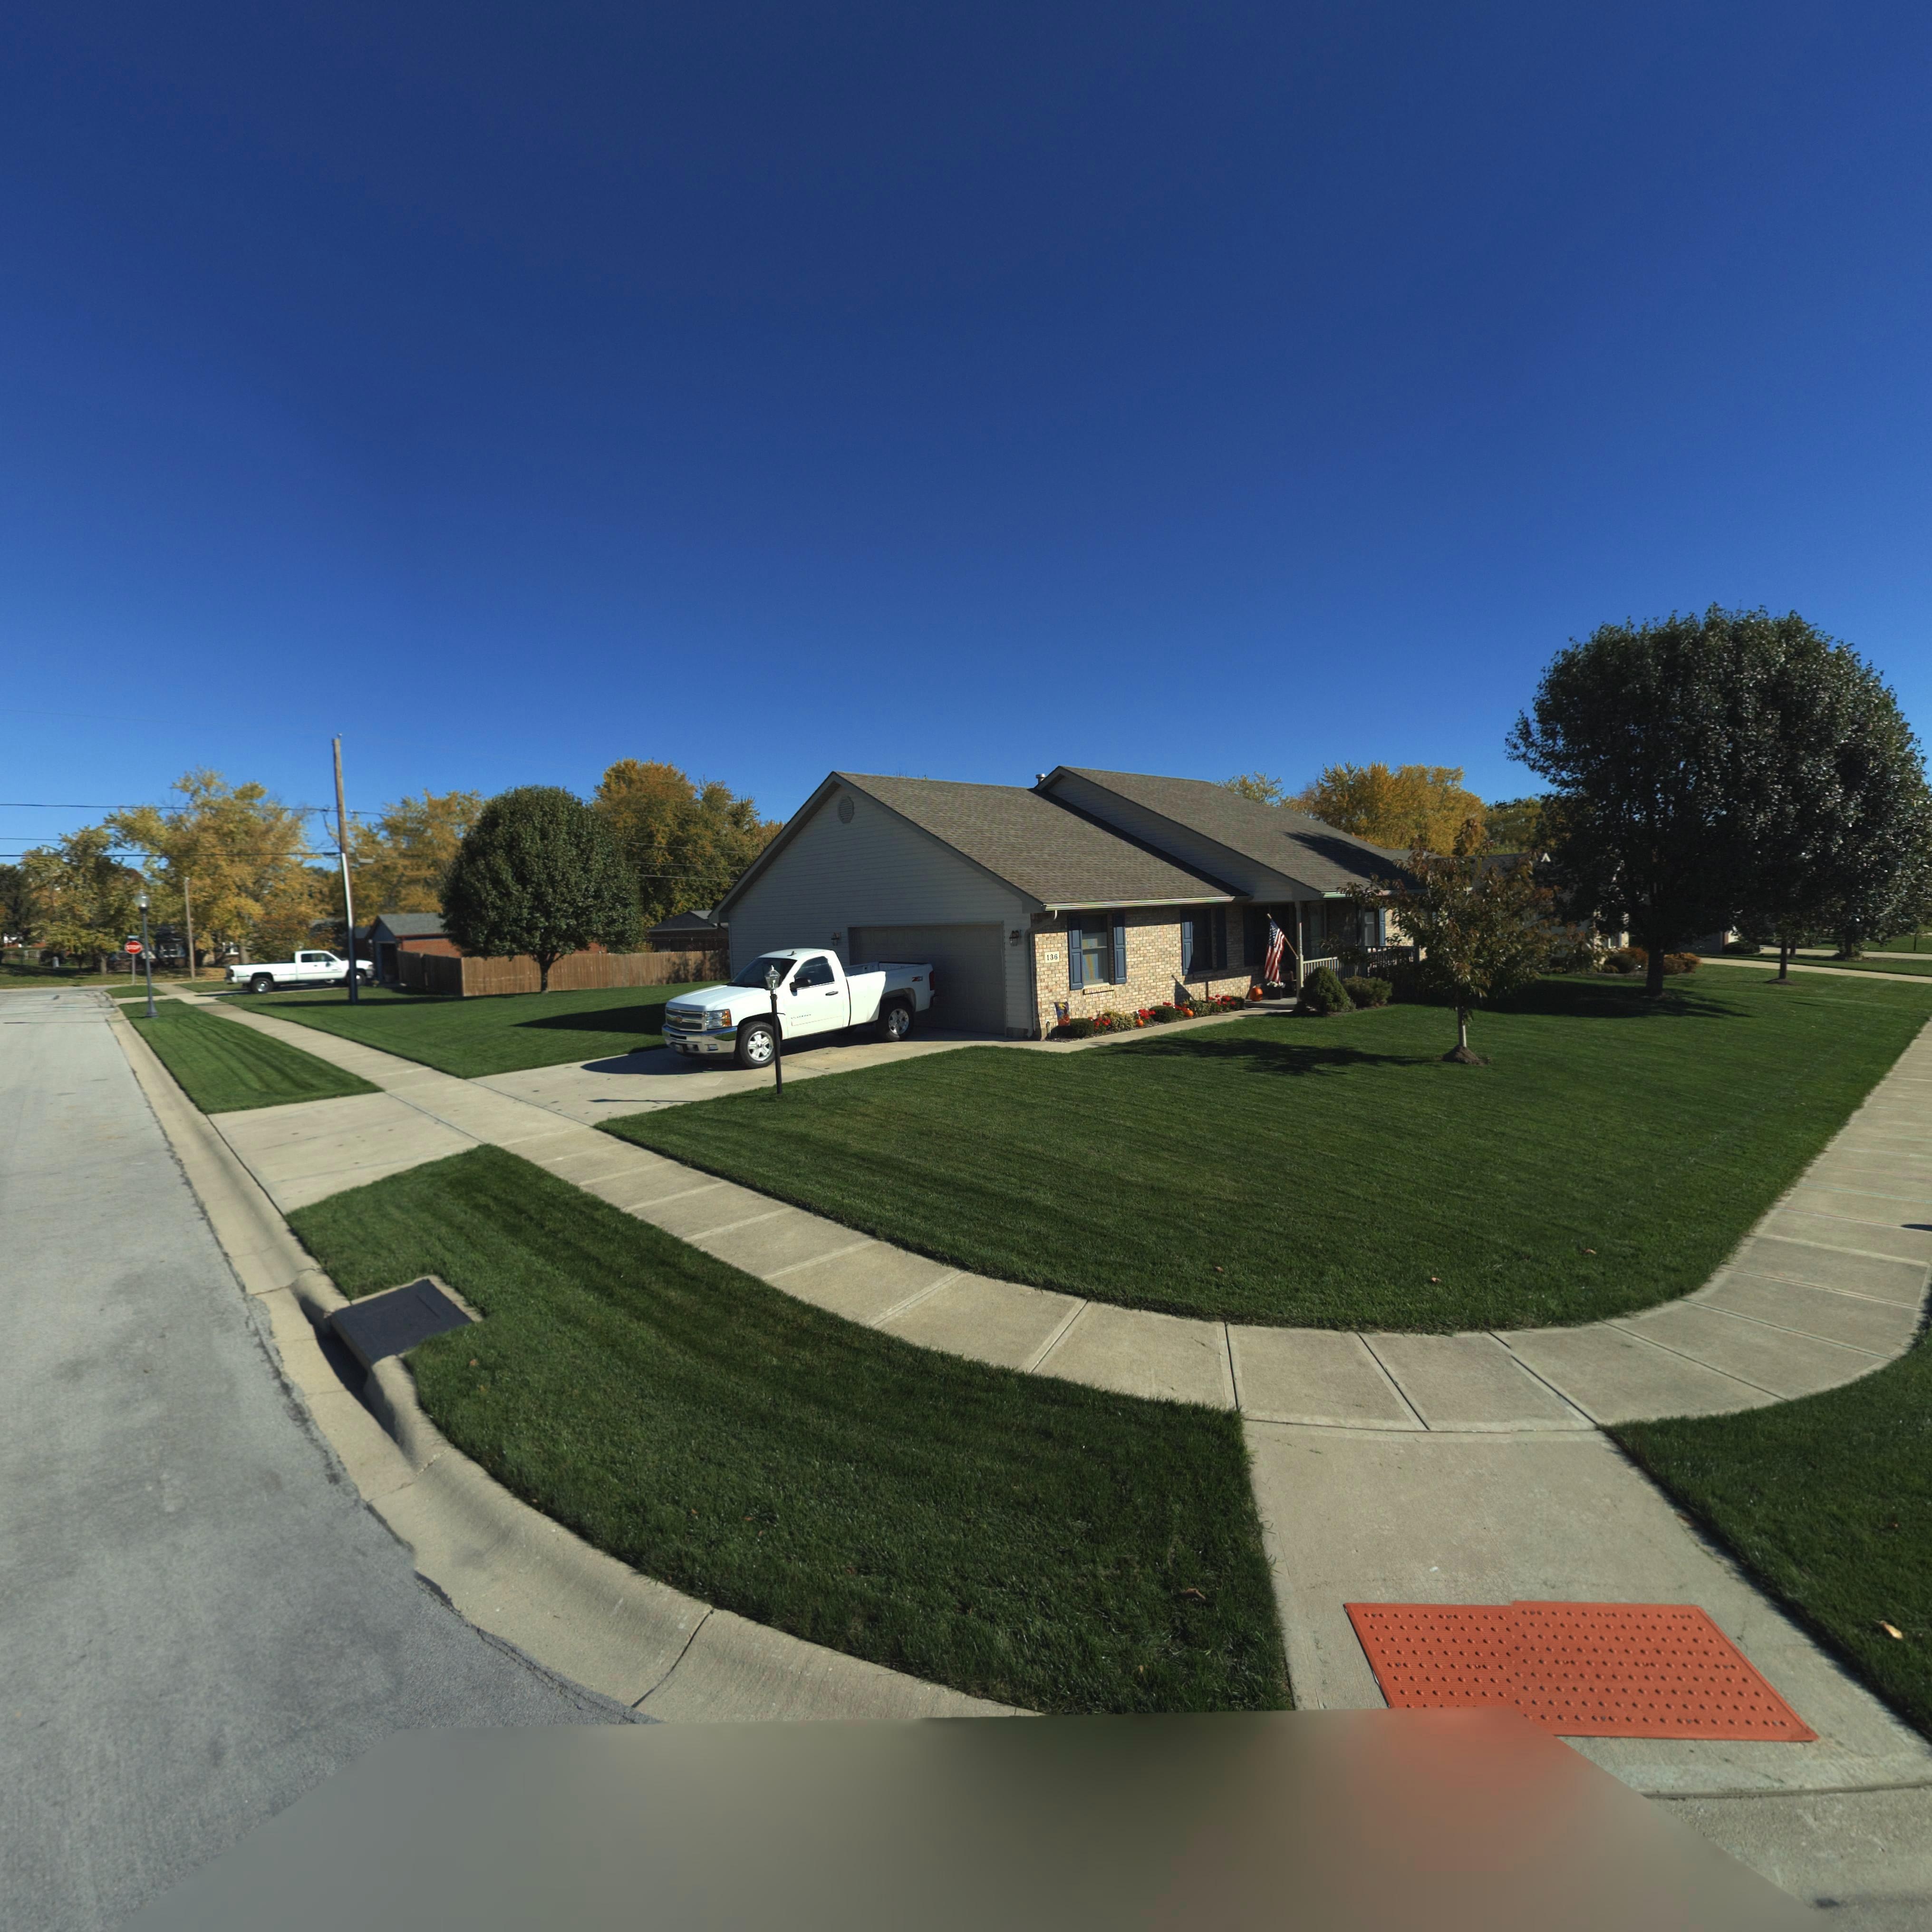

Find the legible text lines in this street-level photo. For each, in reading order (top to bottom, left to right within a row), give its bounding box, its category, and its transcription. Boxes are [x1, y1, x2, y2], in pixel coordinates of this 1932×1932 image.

[1046, 953, 1058, 961] StreetNumber: 136